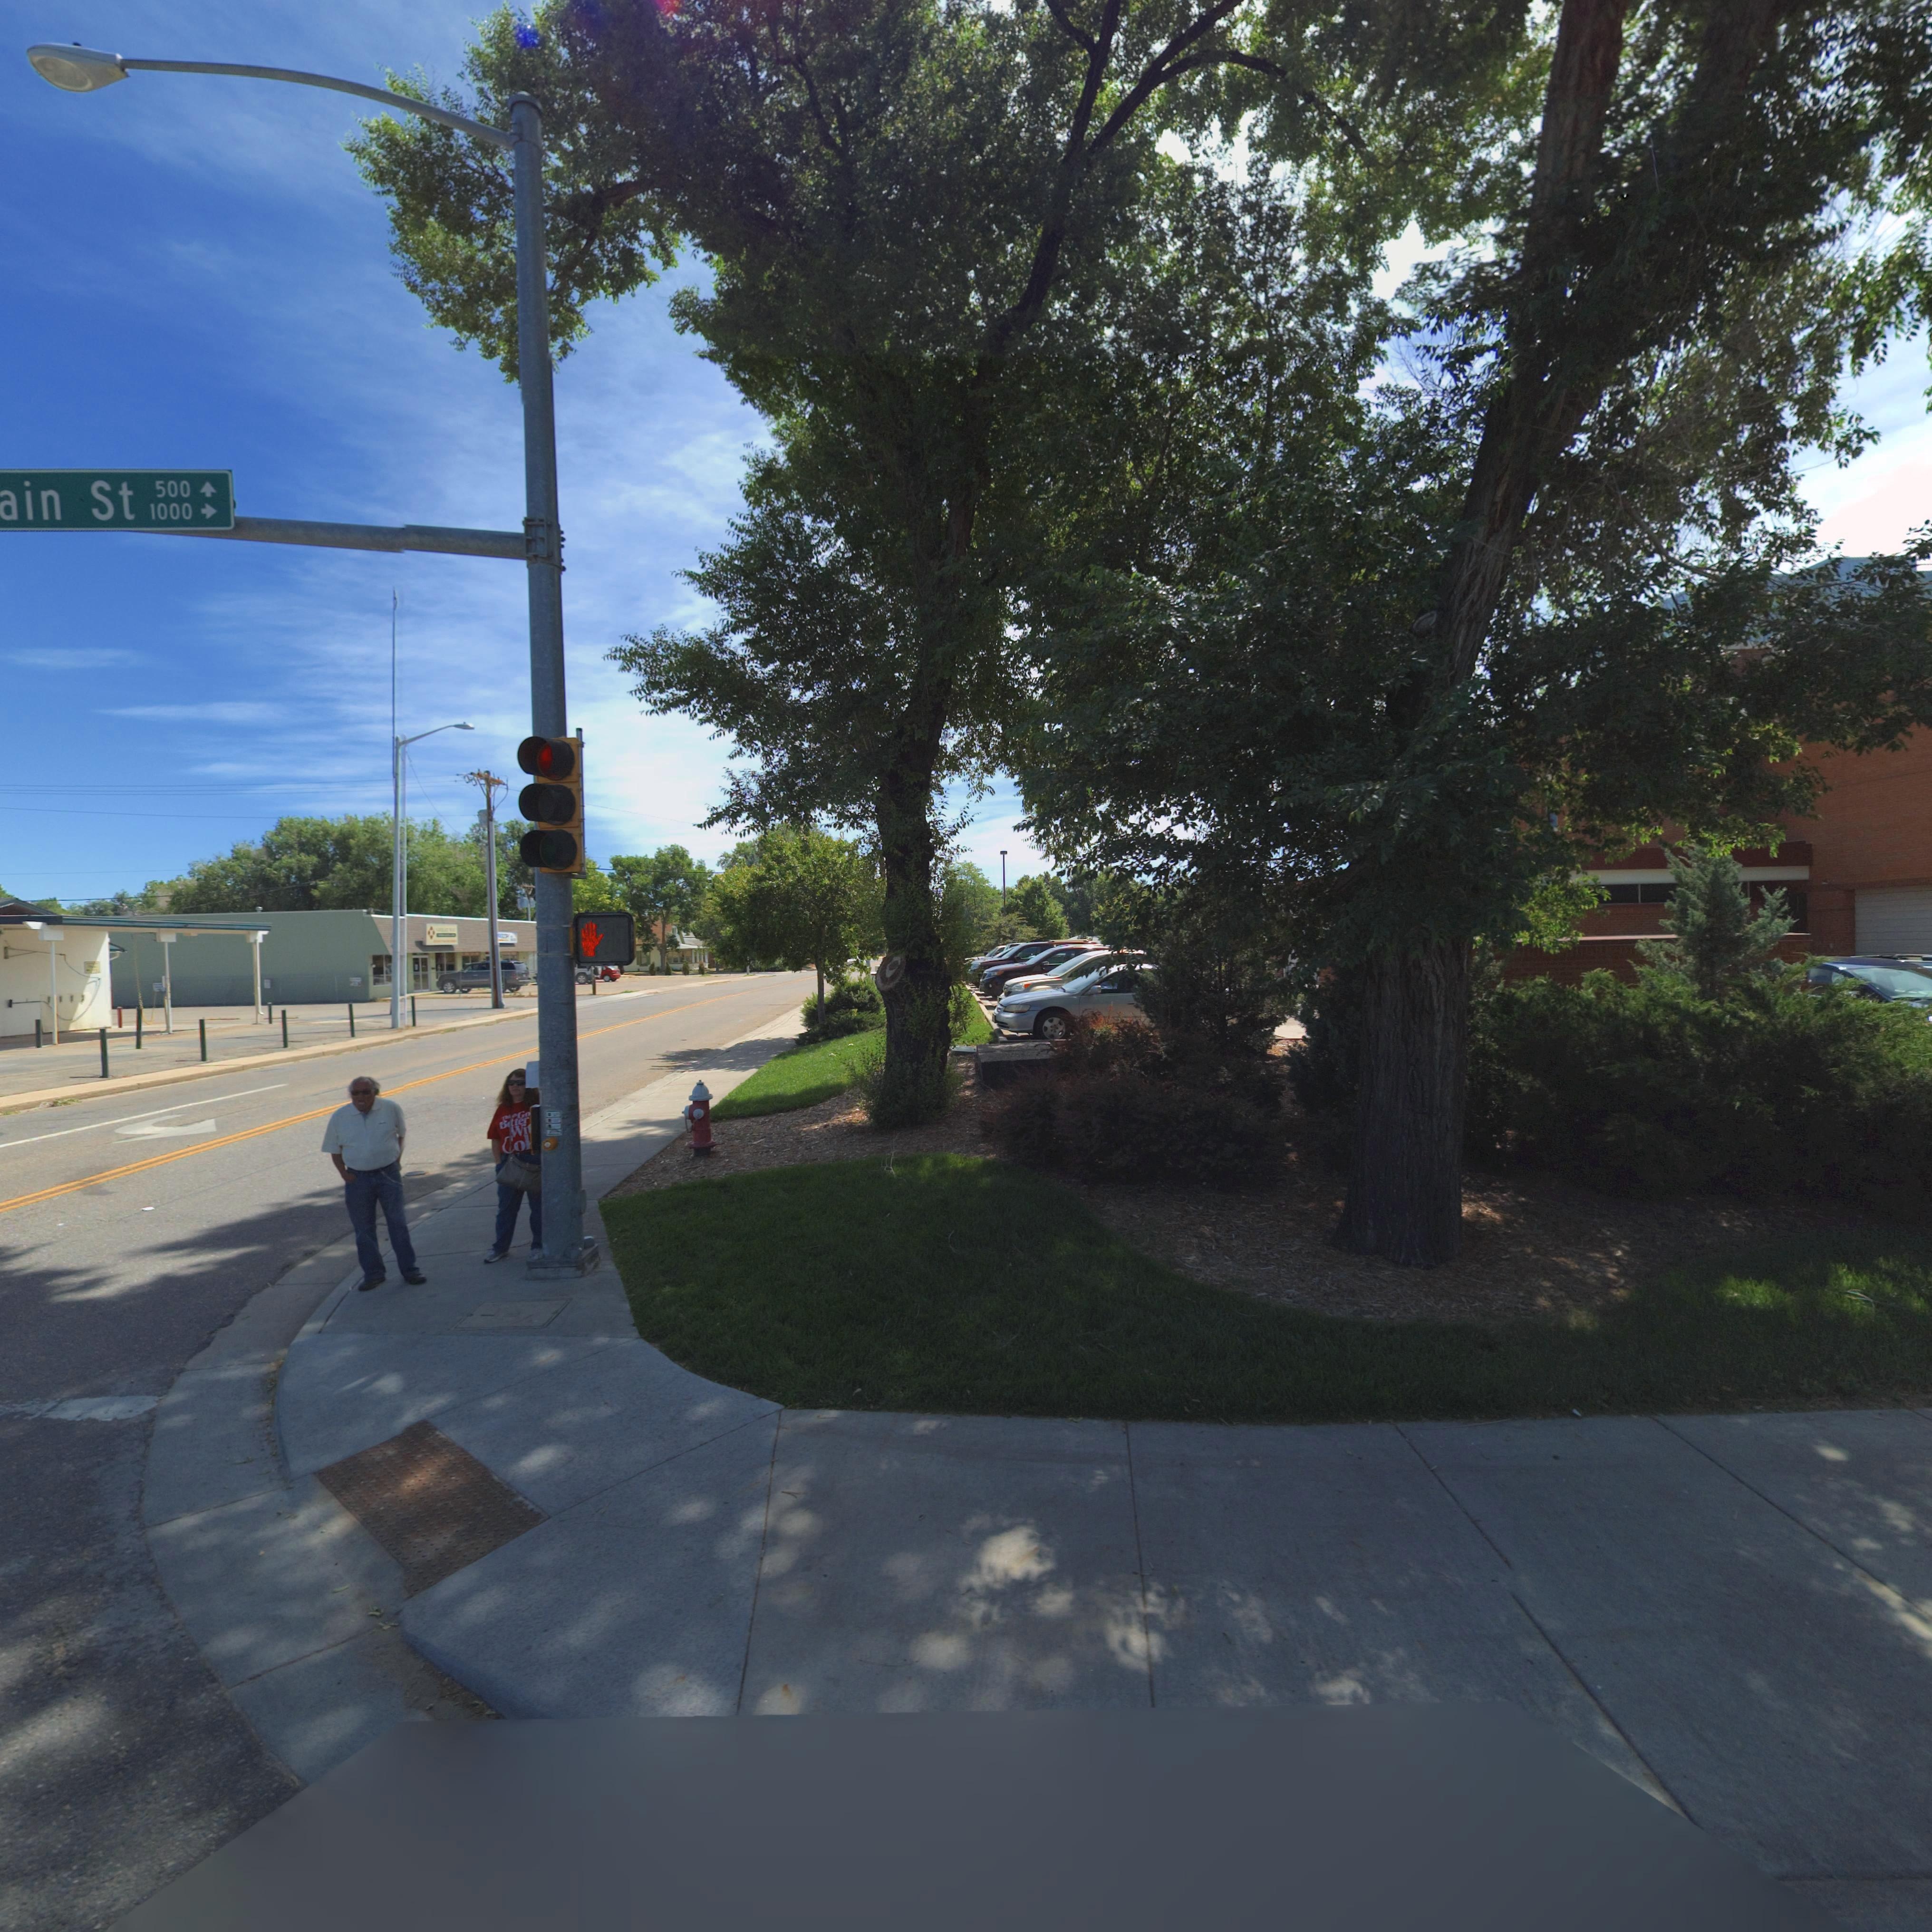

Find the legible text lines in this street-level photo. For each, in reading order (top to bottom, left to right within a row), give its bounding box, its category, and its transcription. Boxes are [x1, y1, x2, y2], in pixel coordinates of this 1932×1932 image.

[154, 479, 193, 498] StreetNumberRange: 500
[23, 480, 137, 521] StreetName: in St
[149, 502, 217, 520] StreetNumberRange: 1000->